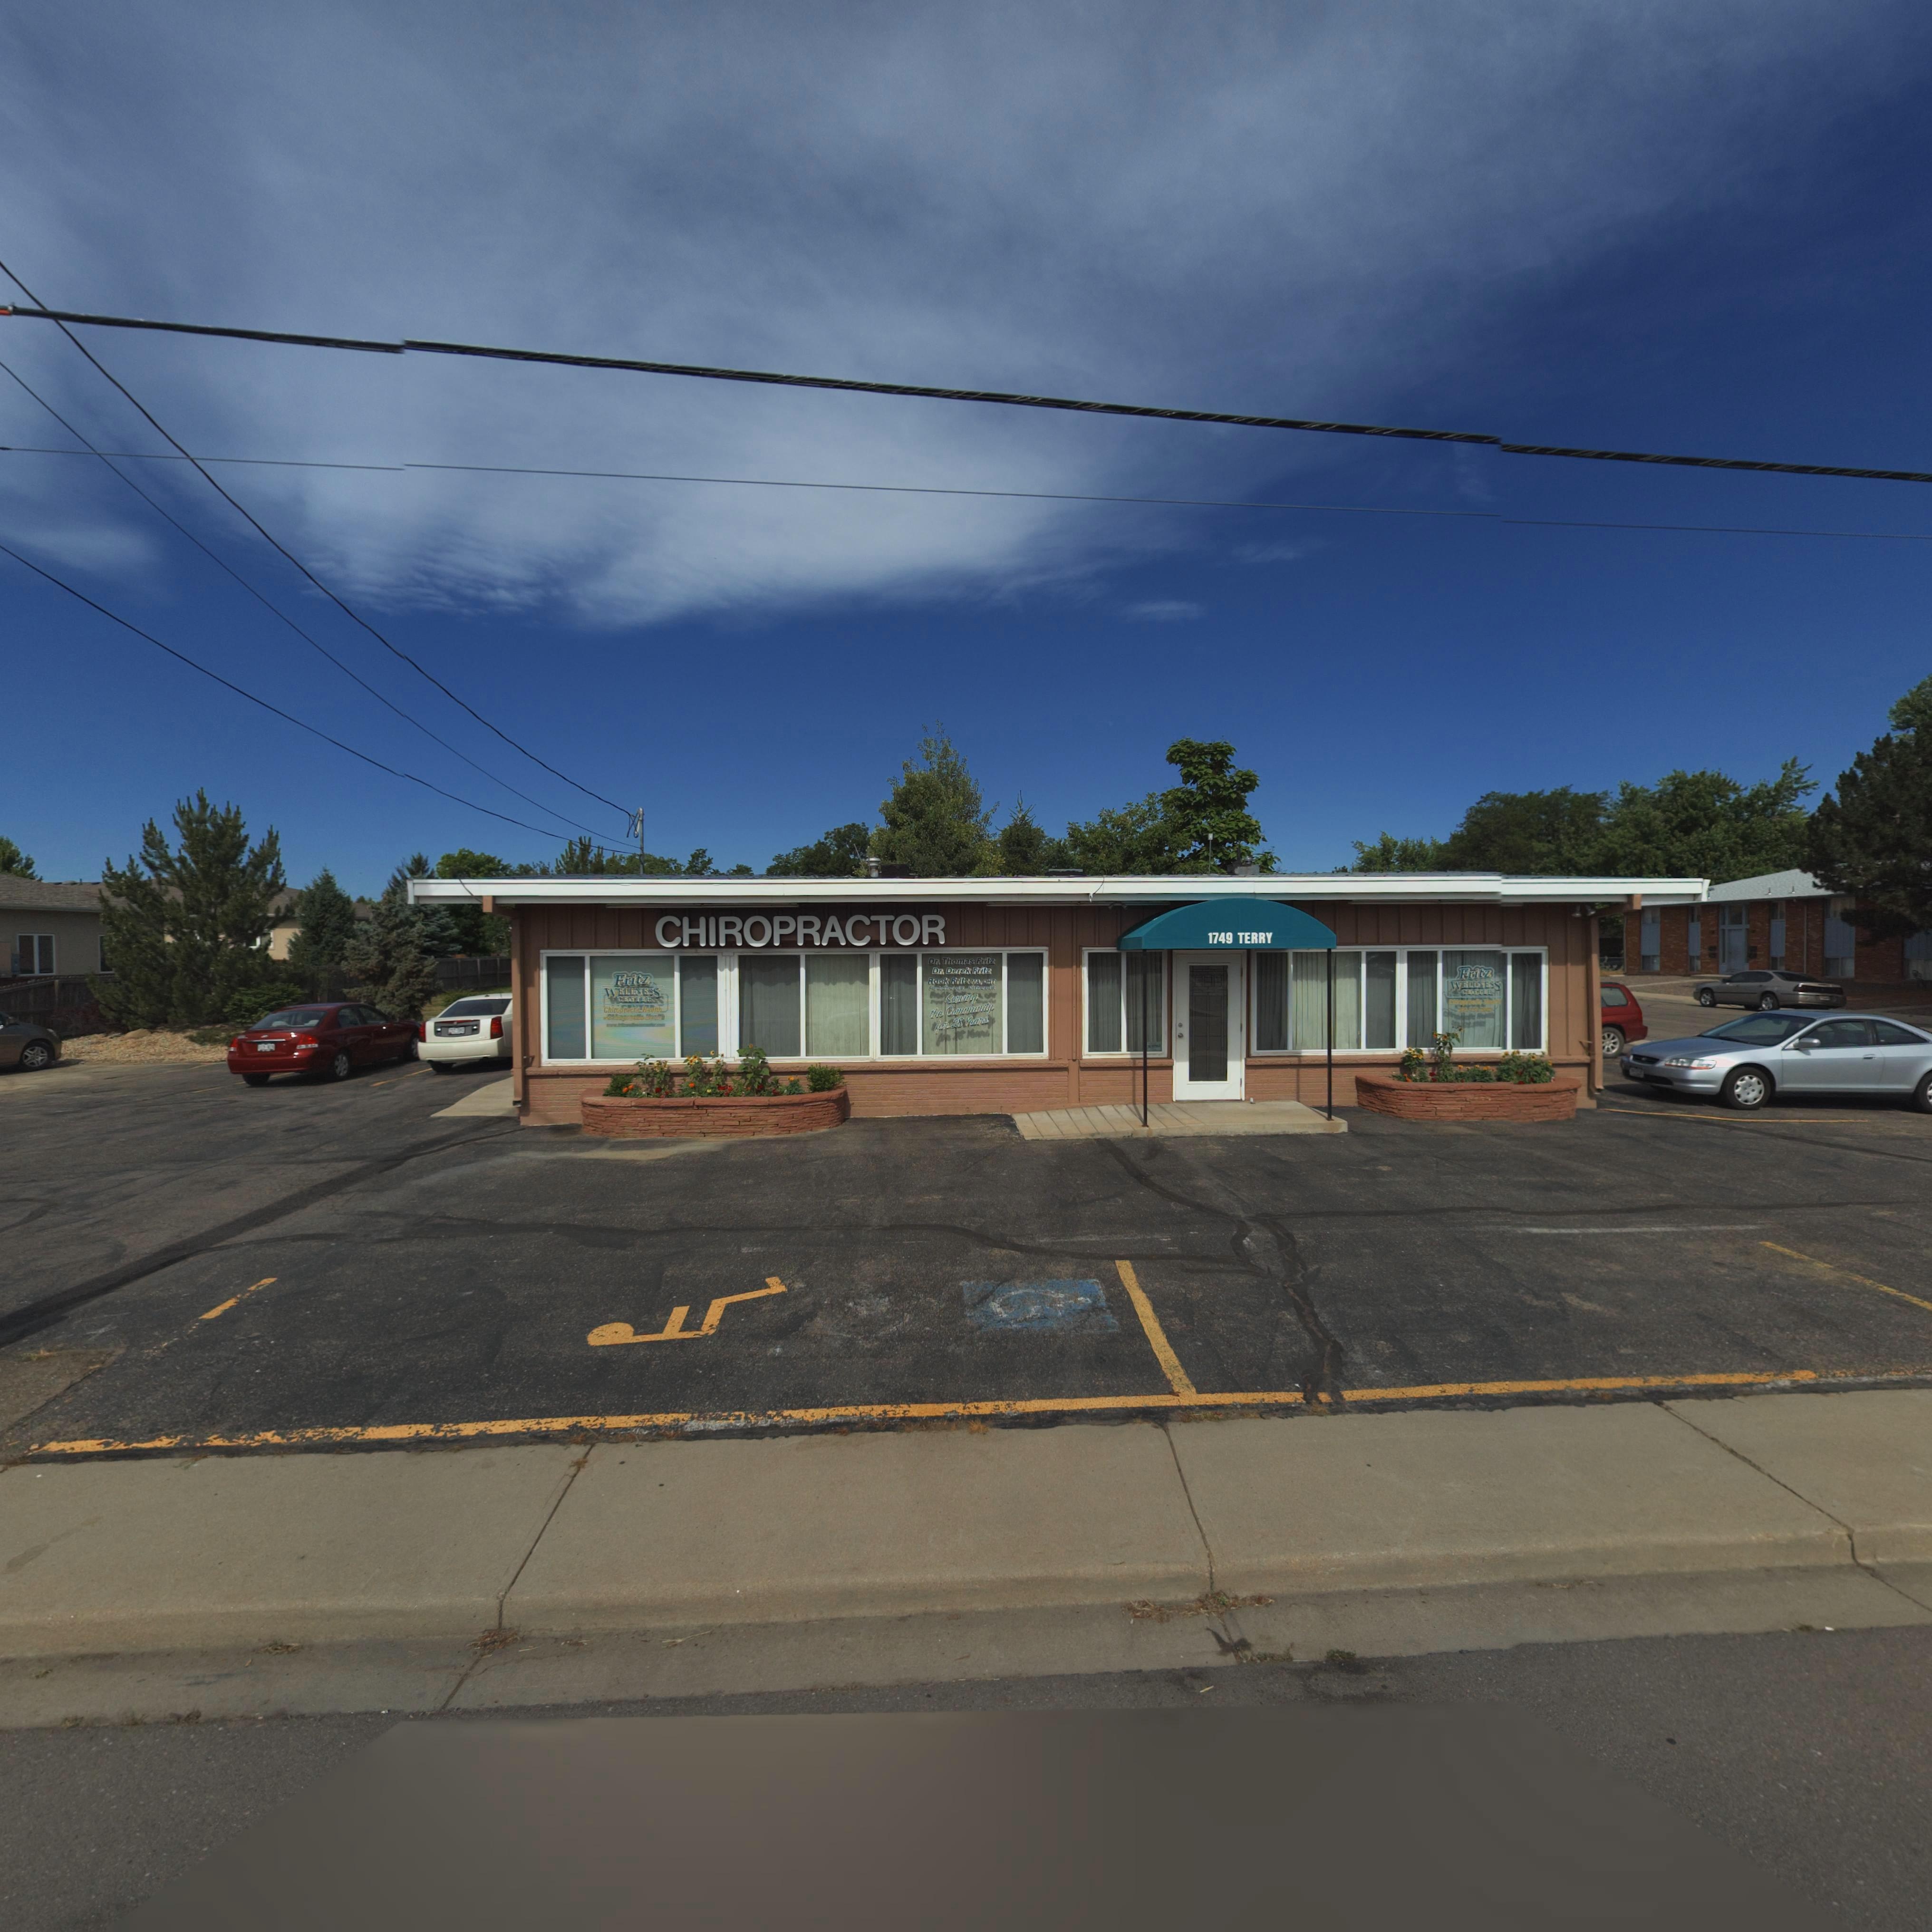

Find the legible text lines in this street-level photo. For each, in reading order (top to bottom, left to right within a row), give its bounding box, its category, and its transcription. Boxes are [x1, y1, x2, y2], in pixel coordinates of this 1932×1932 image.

[1207, 931, 1233, 945] StreetNumber: 1749
[1236, 931, 1273, 944] StreetName: TERRY
[613, 973, 650, 987] BusinessName: Fritz
[603, 987, 661, 999] BusinessName: WELLNESS
[617, 995, 653, 1003] BusinessName: CENTE*
[1457, 966, 1492, 980] BusinessName: Fritz
[1448, 979, 1501, 992] BusinessName: WELLNESS
[1461, 988, 1492, 995] BusinessName: CENTER